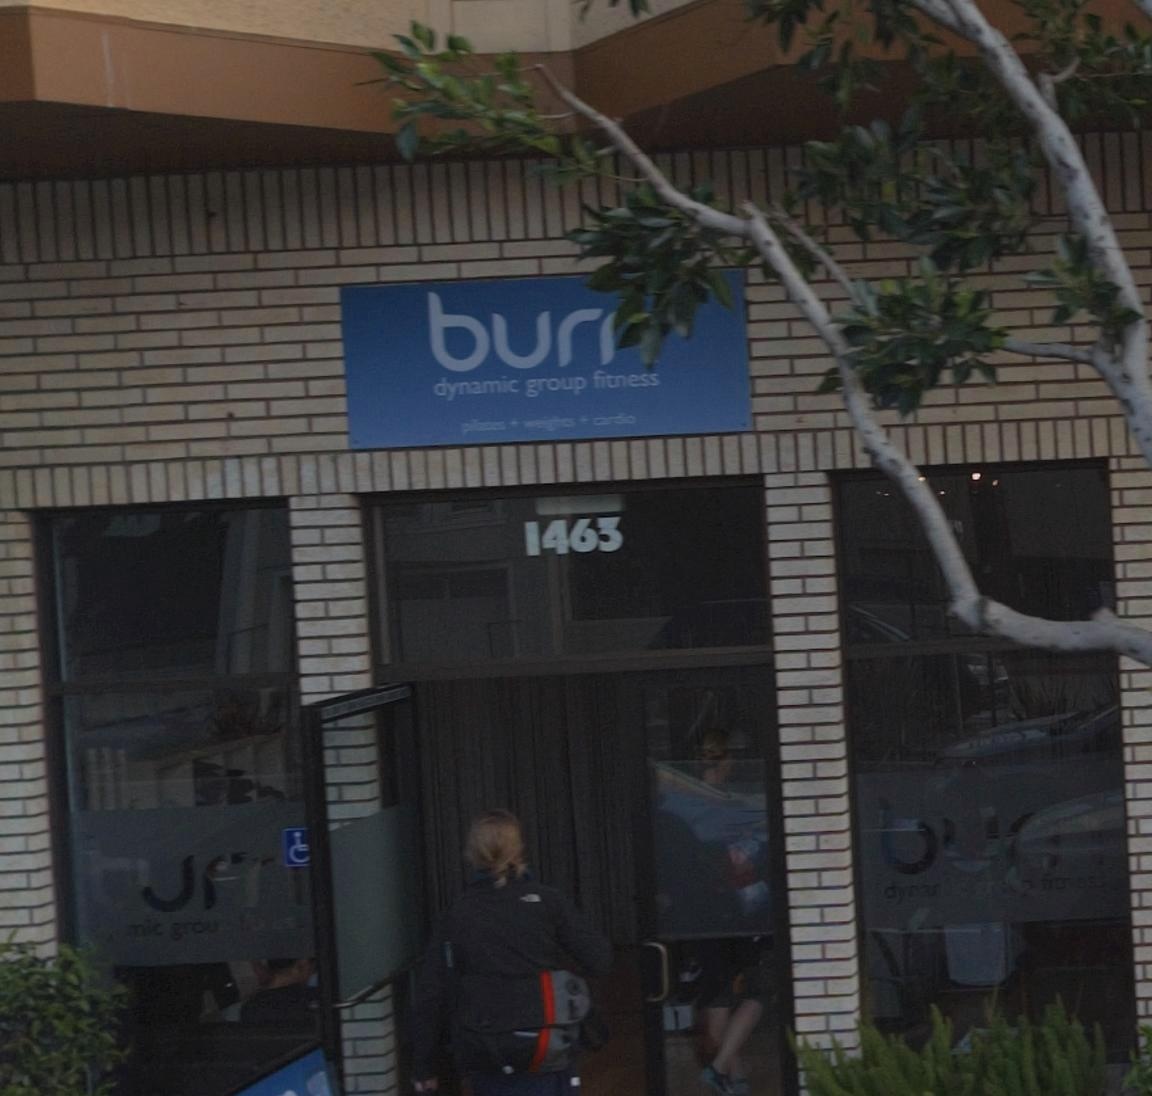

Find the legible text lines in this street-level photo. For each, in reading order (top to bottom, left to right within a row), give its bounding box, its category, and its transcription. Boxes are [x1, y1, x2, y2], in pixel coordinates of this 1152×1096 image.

[425, 288, 605, 375] BusinessName: bur
[433, 366, 663, 402] BusinessName: dynamic group fitness
[507, 409, 638, 435] None: + weigh** + cardio
[522, 514, 628, 558] StreetNumber: 1463
[876, 793, 1001, 876] None: bu
[132, 848, 255, 915] None: ur
[878, 879, 935, 907] None: dyna
[131, 916, 219, 941] None: mic grou